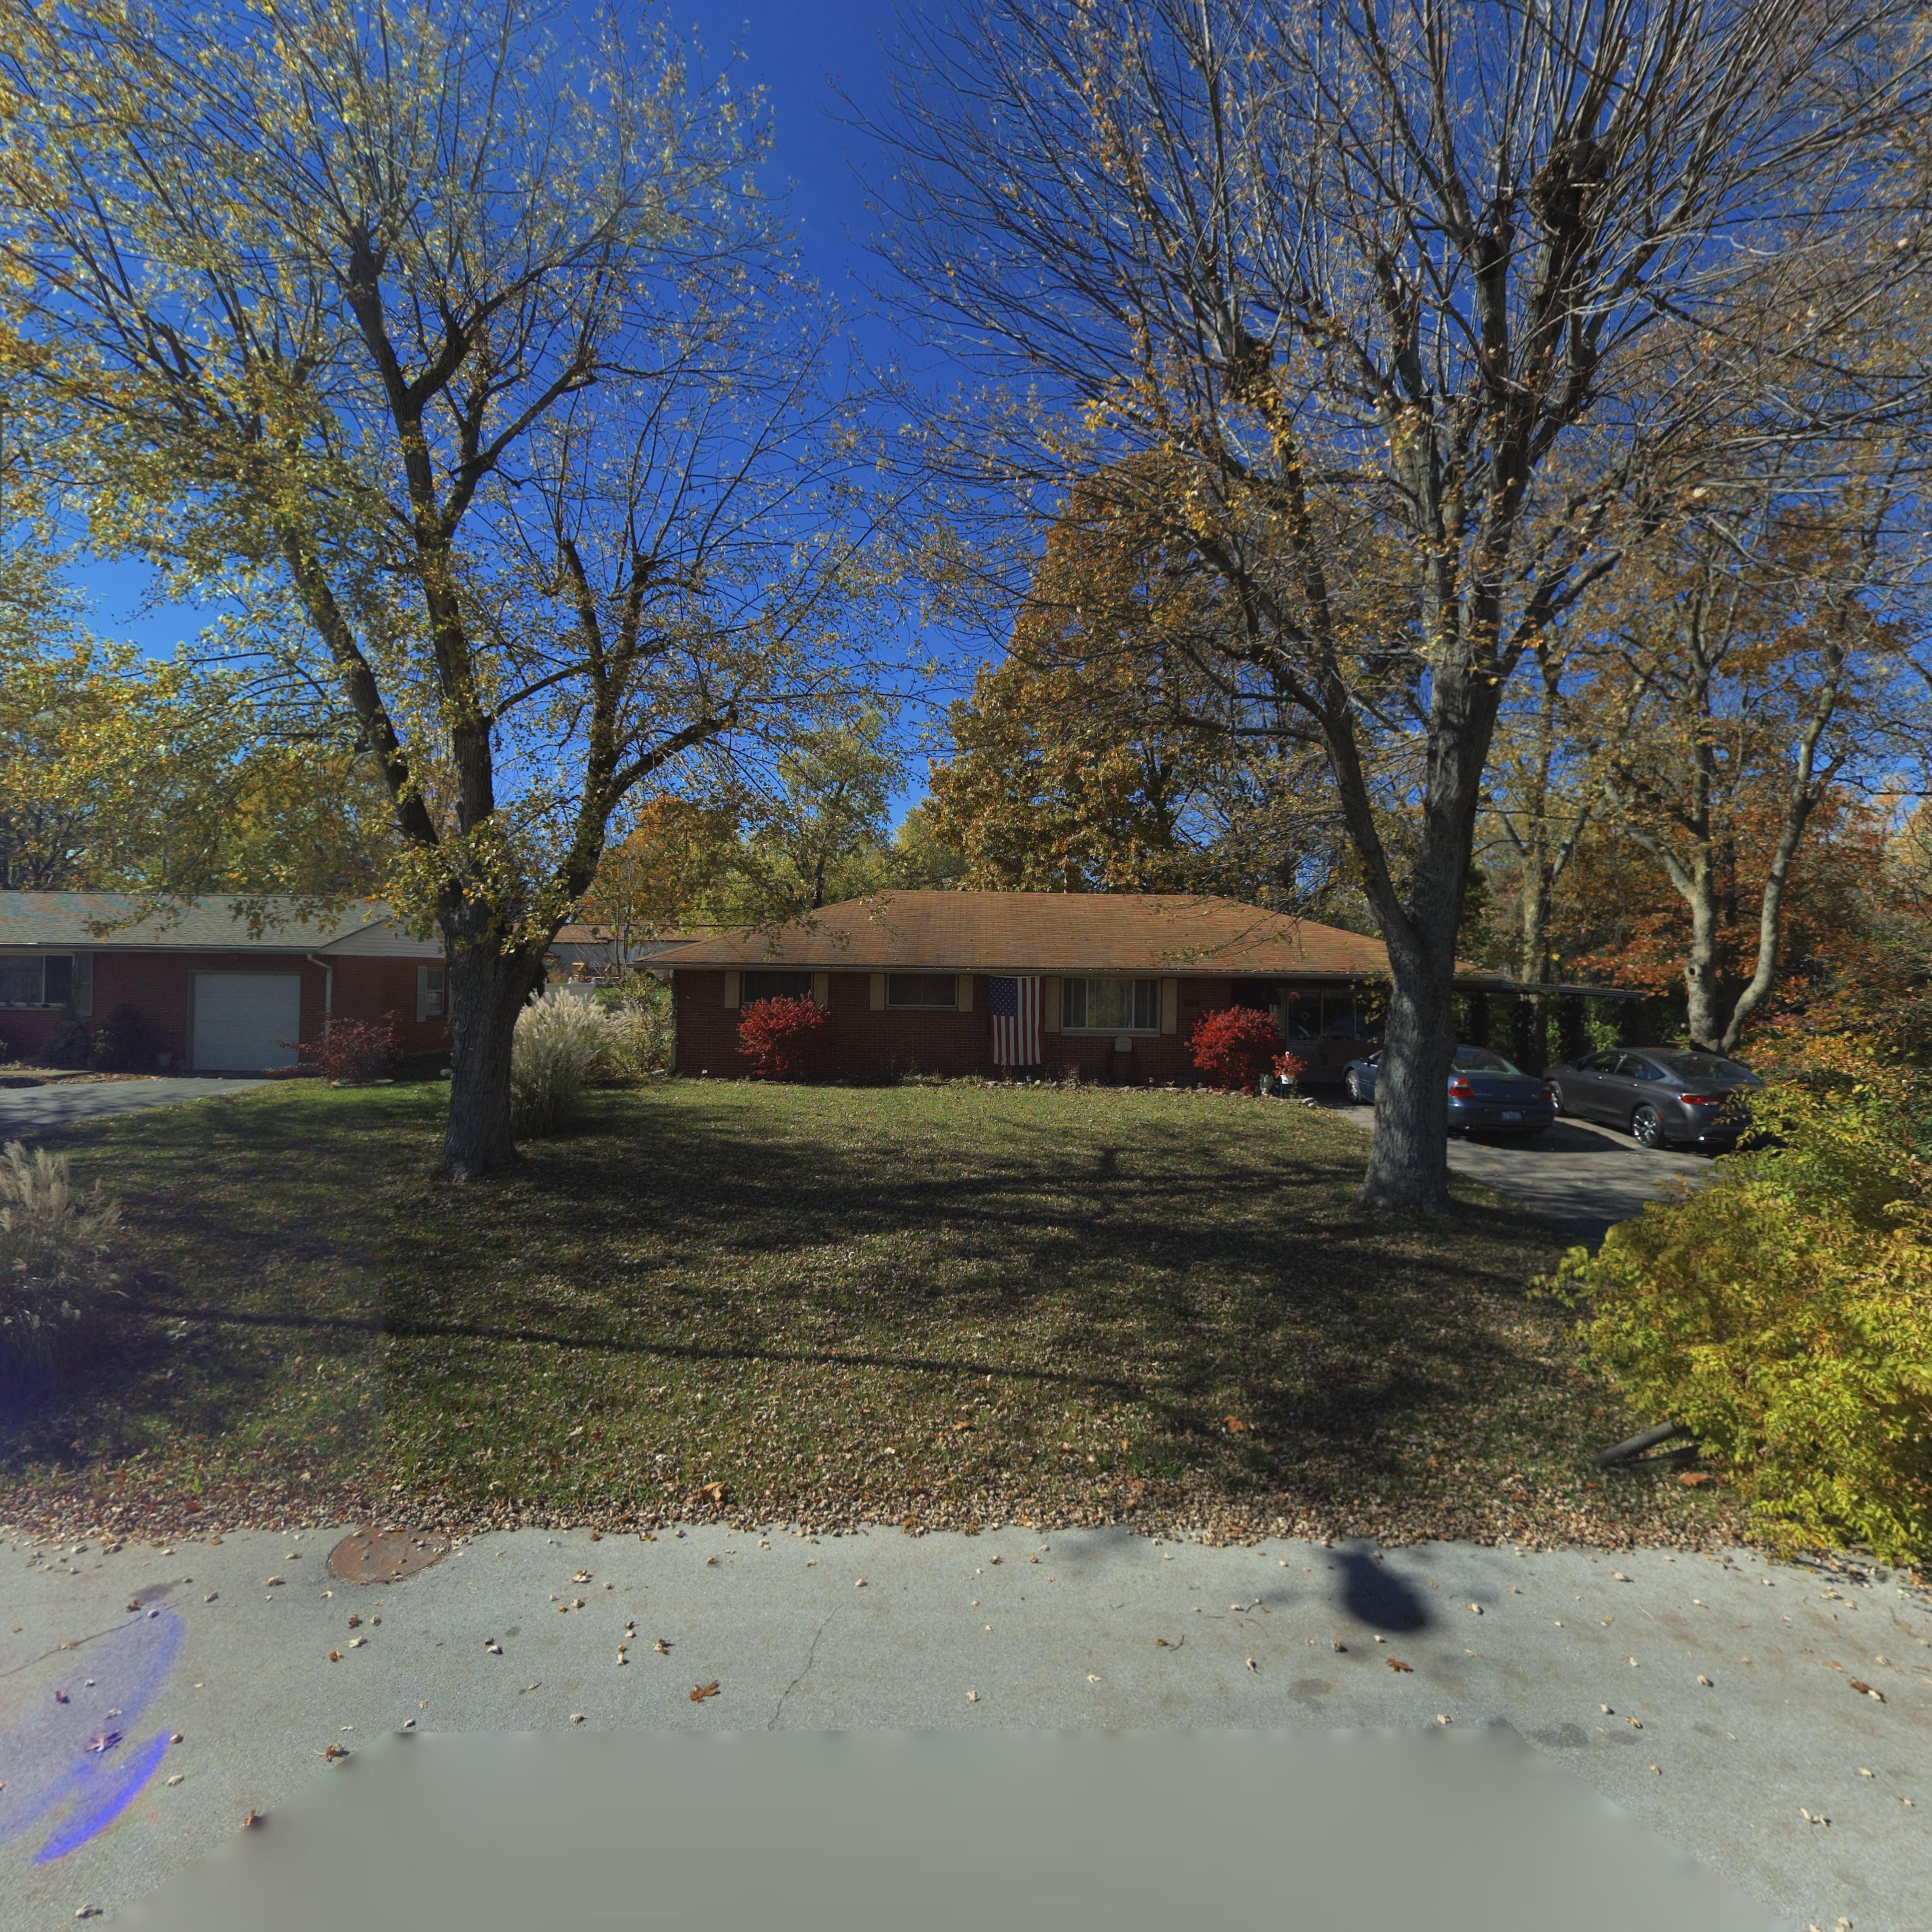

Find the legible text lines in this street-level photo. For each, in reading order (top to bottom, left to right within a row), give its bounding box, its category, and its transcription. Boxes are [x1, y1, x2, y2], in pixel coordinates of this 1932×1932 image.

[1186, 999, 1198, 1006] StreetNumber: 715